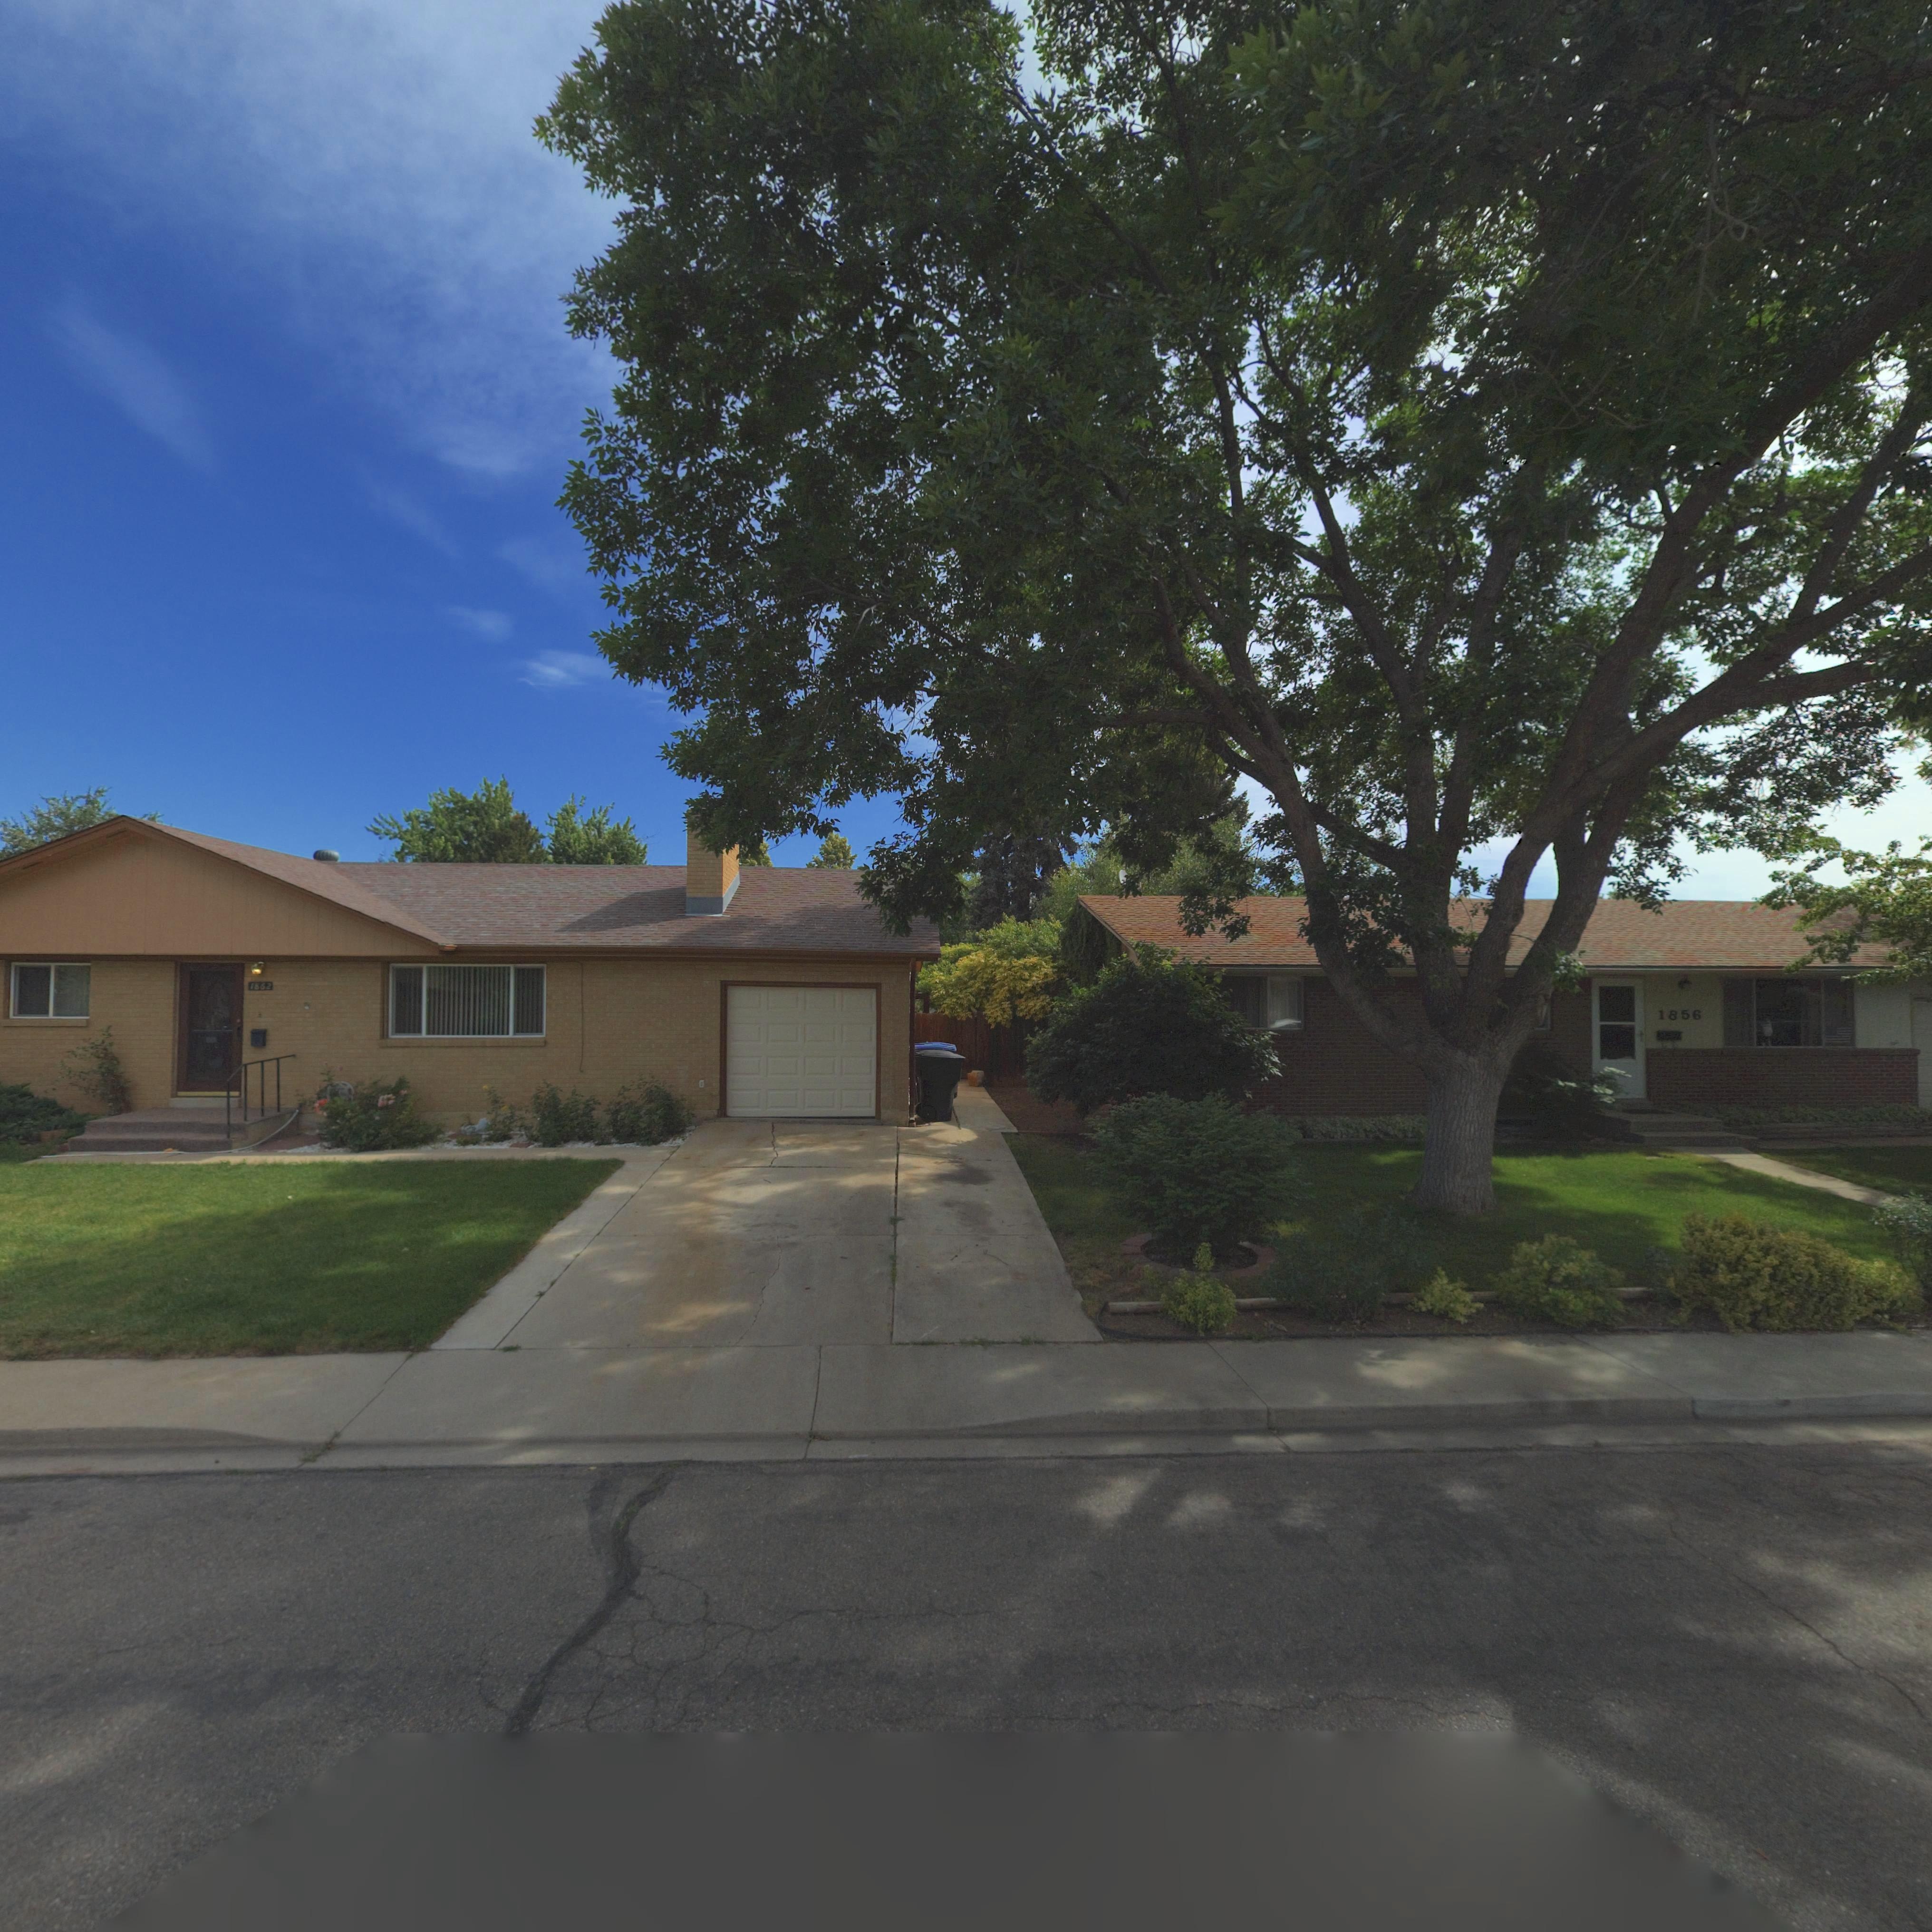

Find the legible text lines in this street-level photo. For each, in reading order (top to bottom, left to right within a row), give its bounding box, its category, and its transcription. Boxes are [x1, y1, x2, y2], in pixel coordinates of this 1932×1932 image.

[250, 982, 271, 990] StreetNumber: 1862
[1658, 1009, 1701, 1020] StreetNumber: 1856